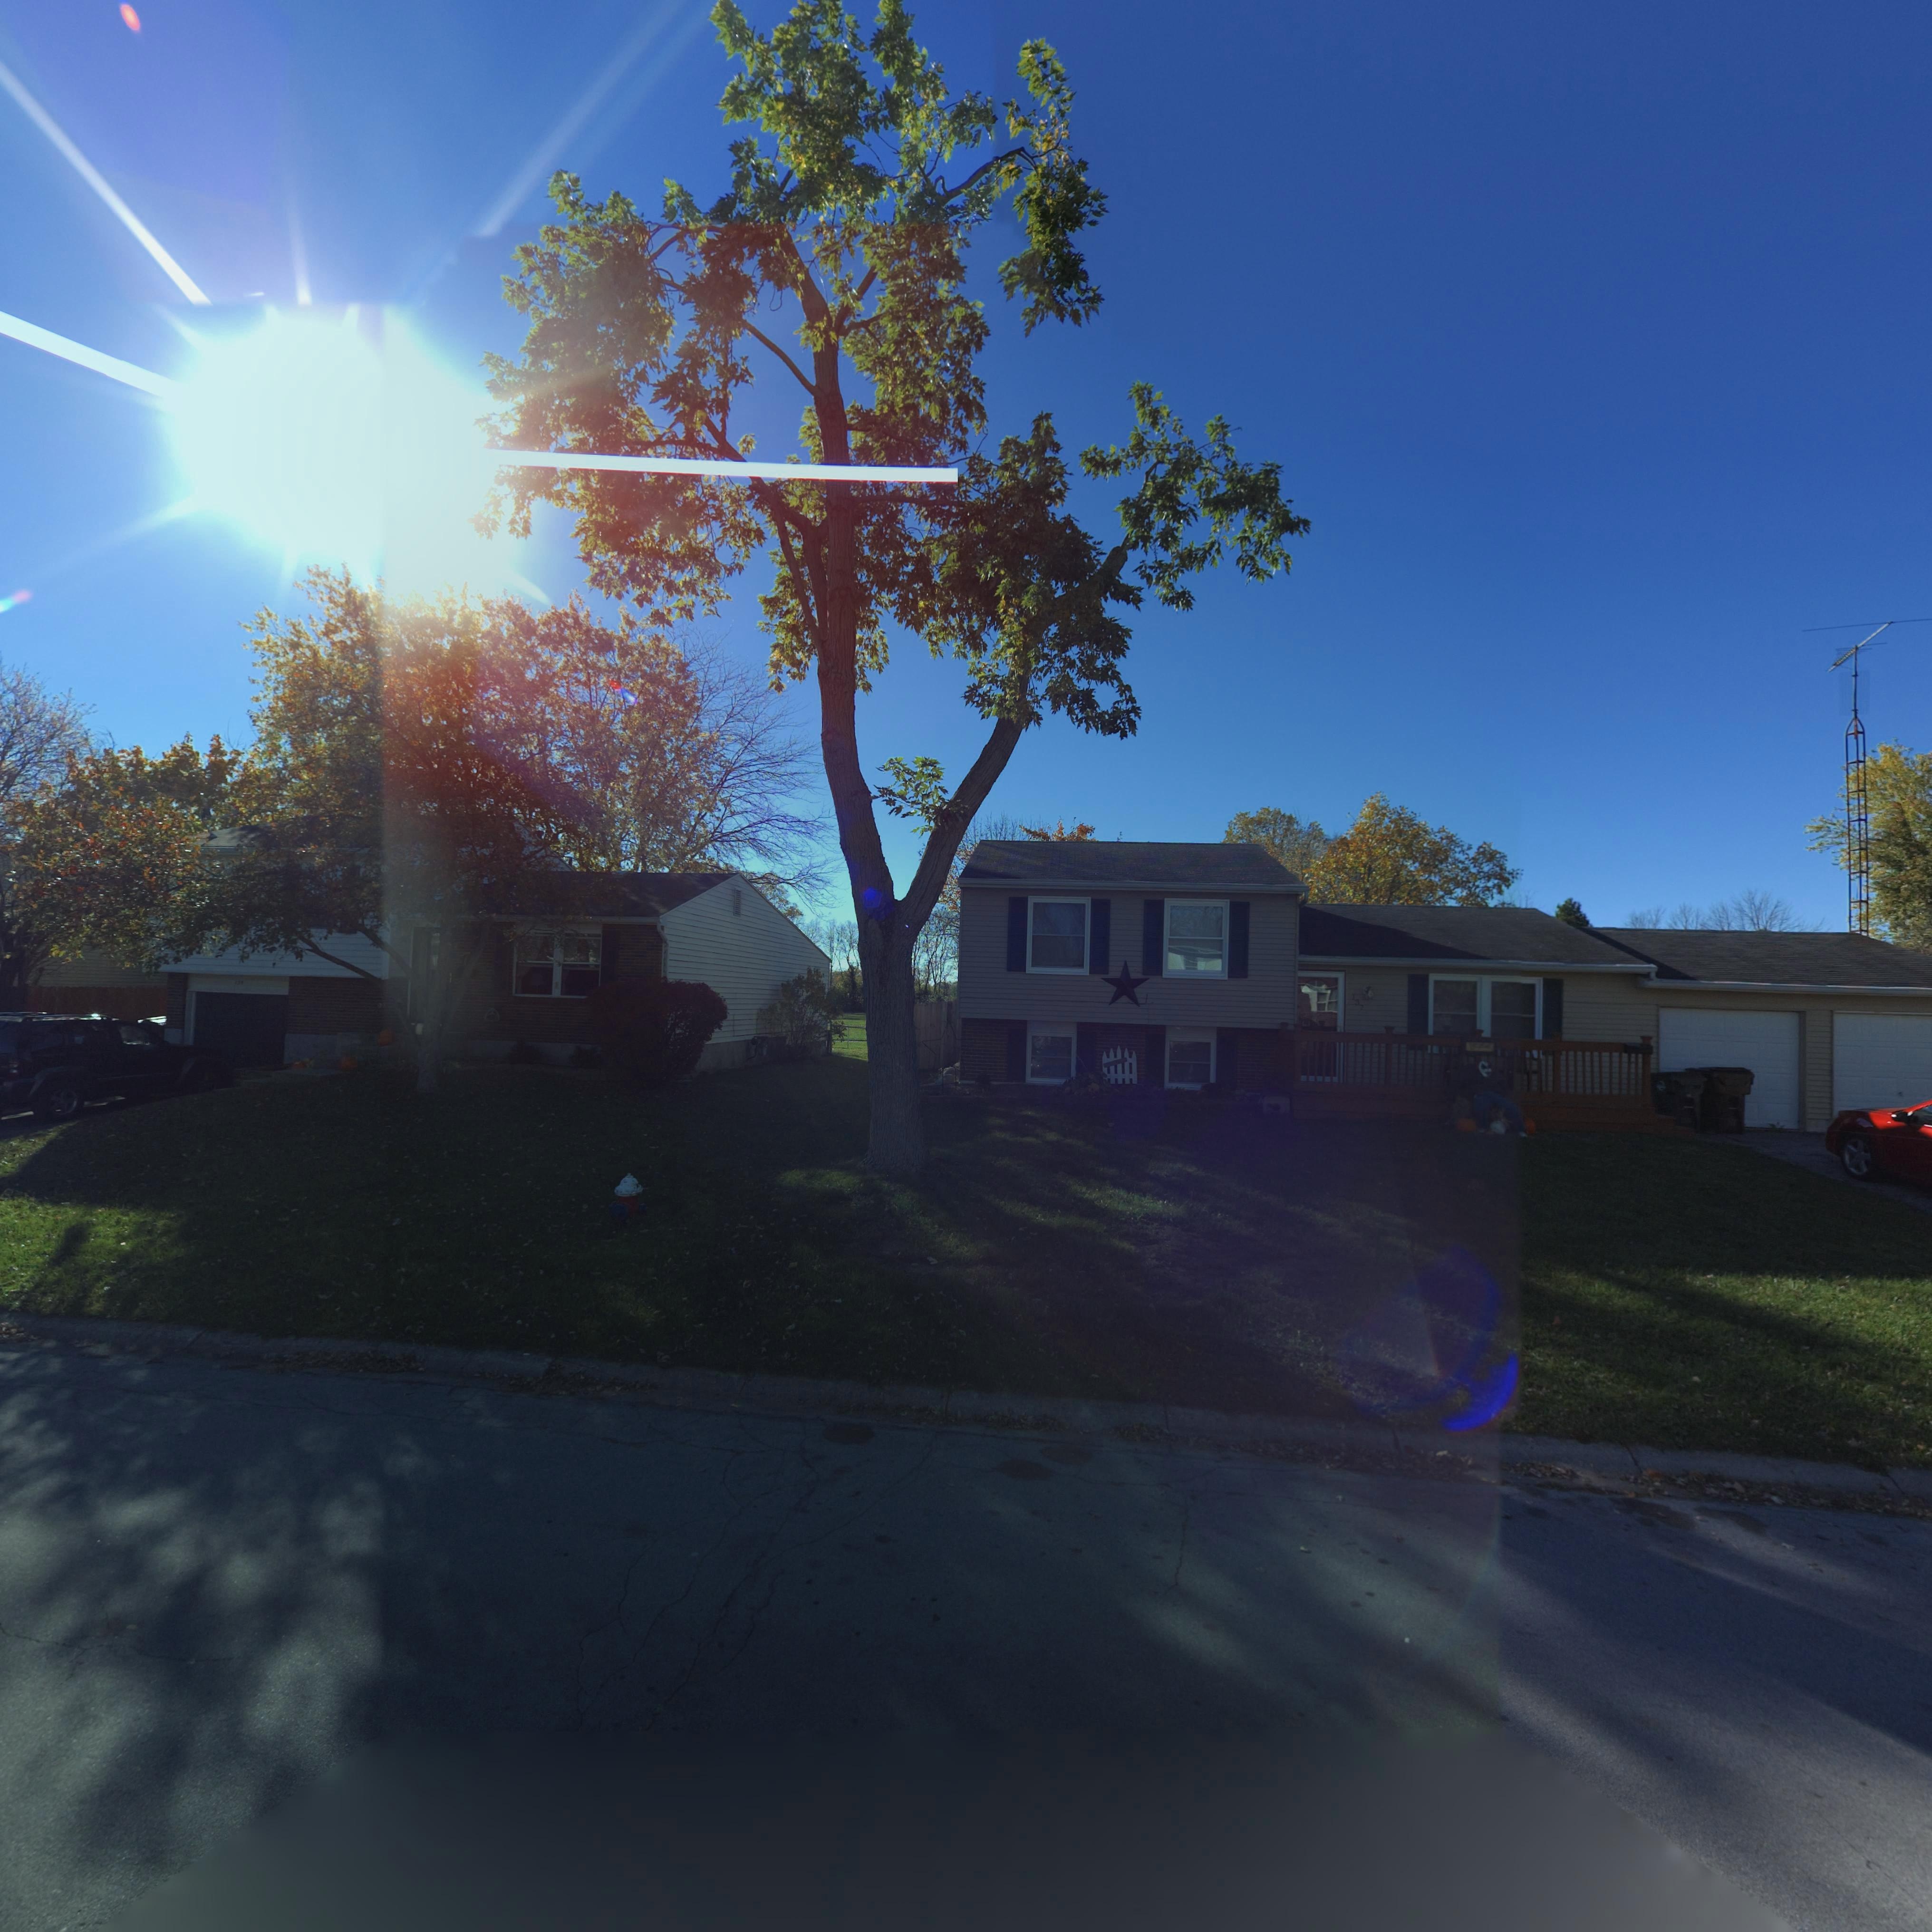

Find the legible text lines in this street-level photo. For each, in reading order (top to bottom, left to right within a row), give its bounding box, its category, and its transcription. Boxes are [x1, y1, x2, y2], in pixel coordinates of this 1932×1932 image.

[233, 980, 244, 985] StreetNumber: 13*
[1351, 994, 1364, 1011] StreetNumber: 137